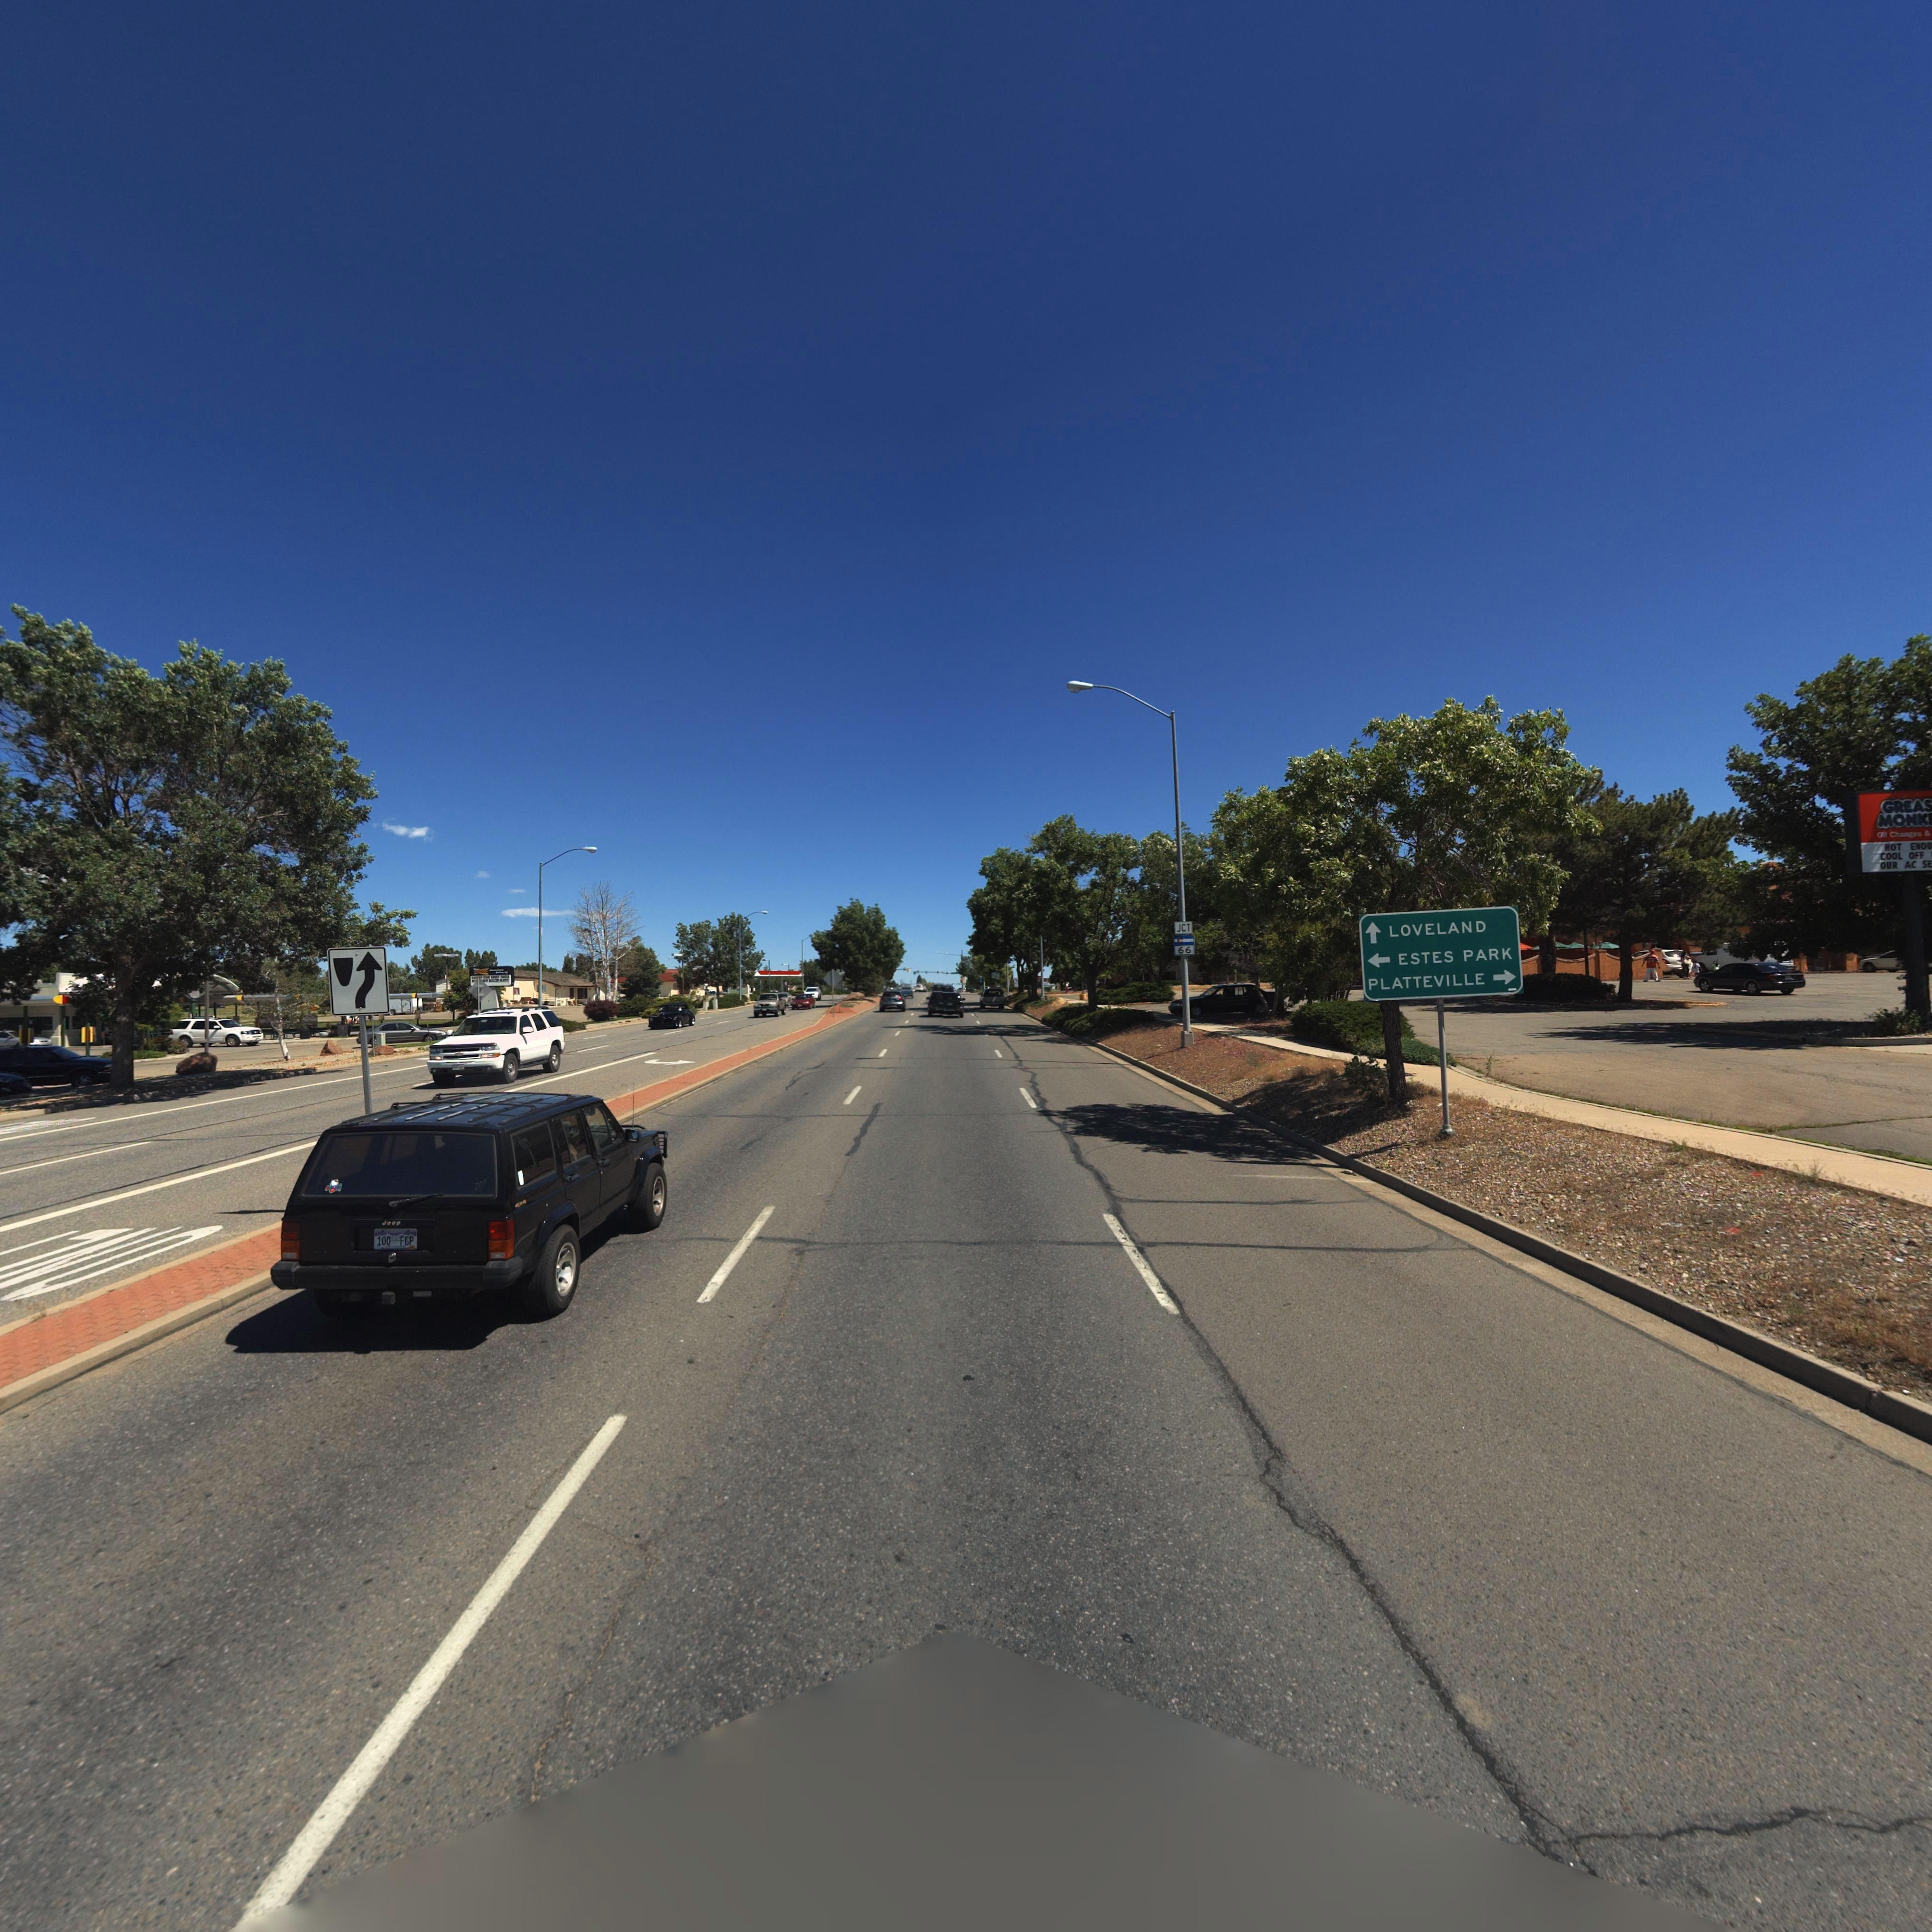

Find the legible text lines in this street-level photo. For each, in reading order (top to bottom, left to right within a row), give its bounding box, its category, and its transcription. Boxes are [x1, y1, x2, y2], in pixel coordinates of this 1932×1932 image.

[1880, 798, 1931, 813] BusinessName: GREAS
[474, 969, 488, 973] BusinessName: SONIC